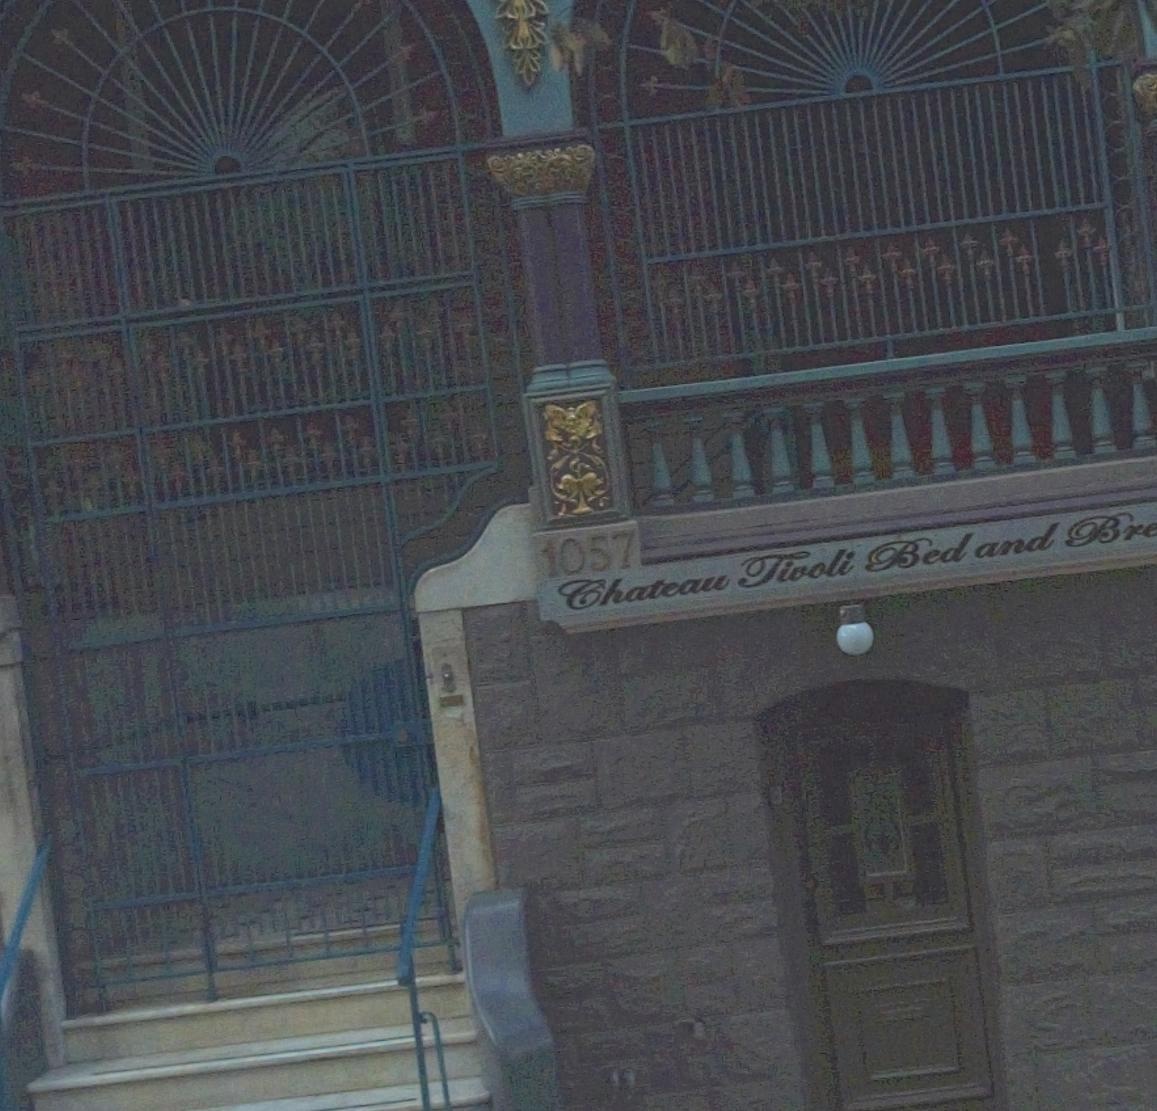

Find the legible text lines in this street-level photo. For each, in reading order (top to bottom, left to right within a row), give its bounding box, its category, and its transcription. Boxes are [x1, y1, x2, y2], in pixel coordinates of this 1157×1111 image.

[538, 523, 640, 582] StreetNumber: 1057
[561, 507, 1149, 614] BusinessName: Chateau Tivoli Bed and Br